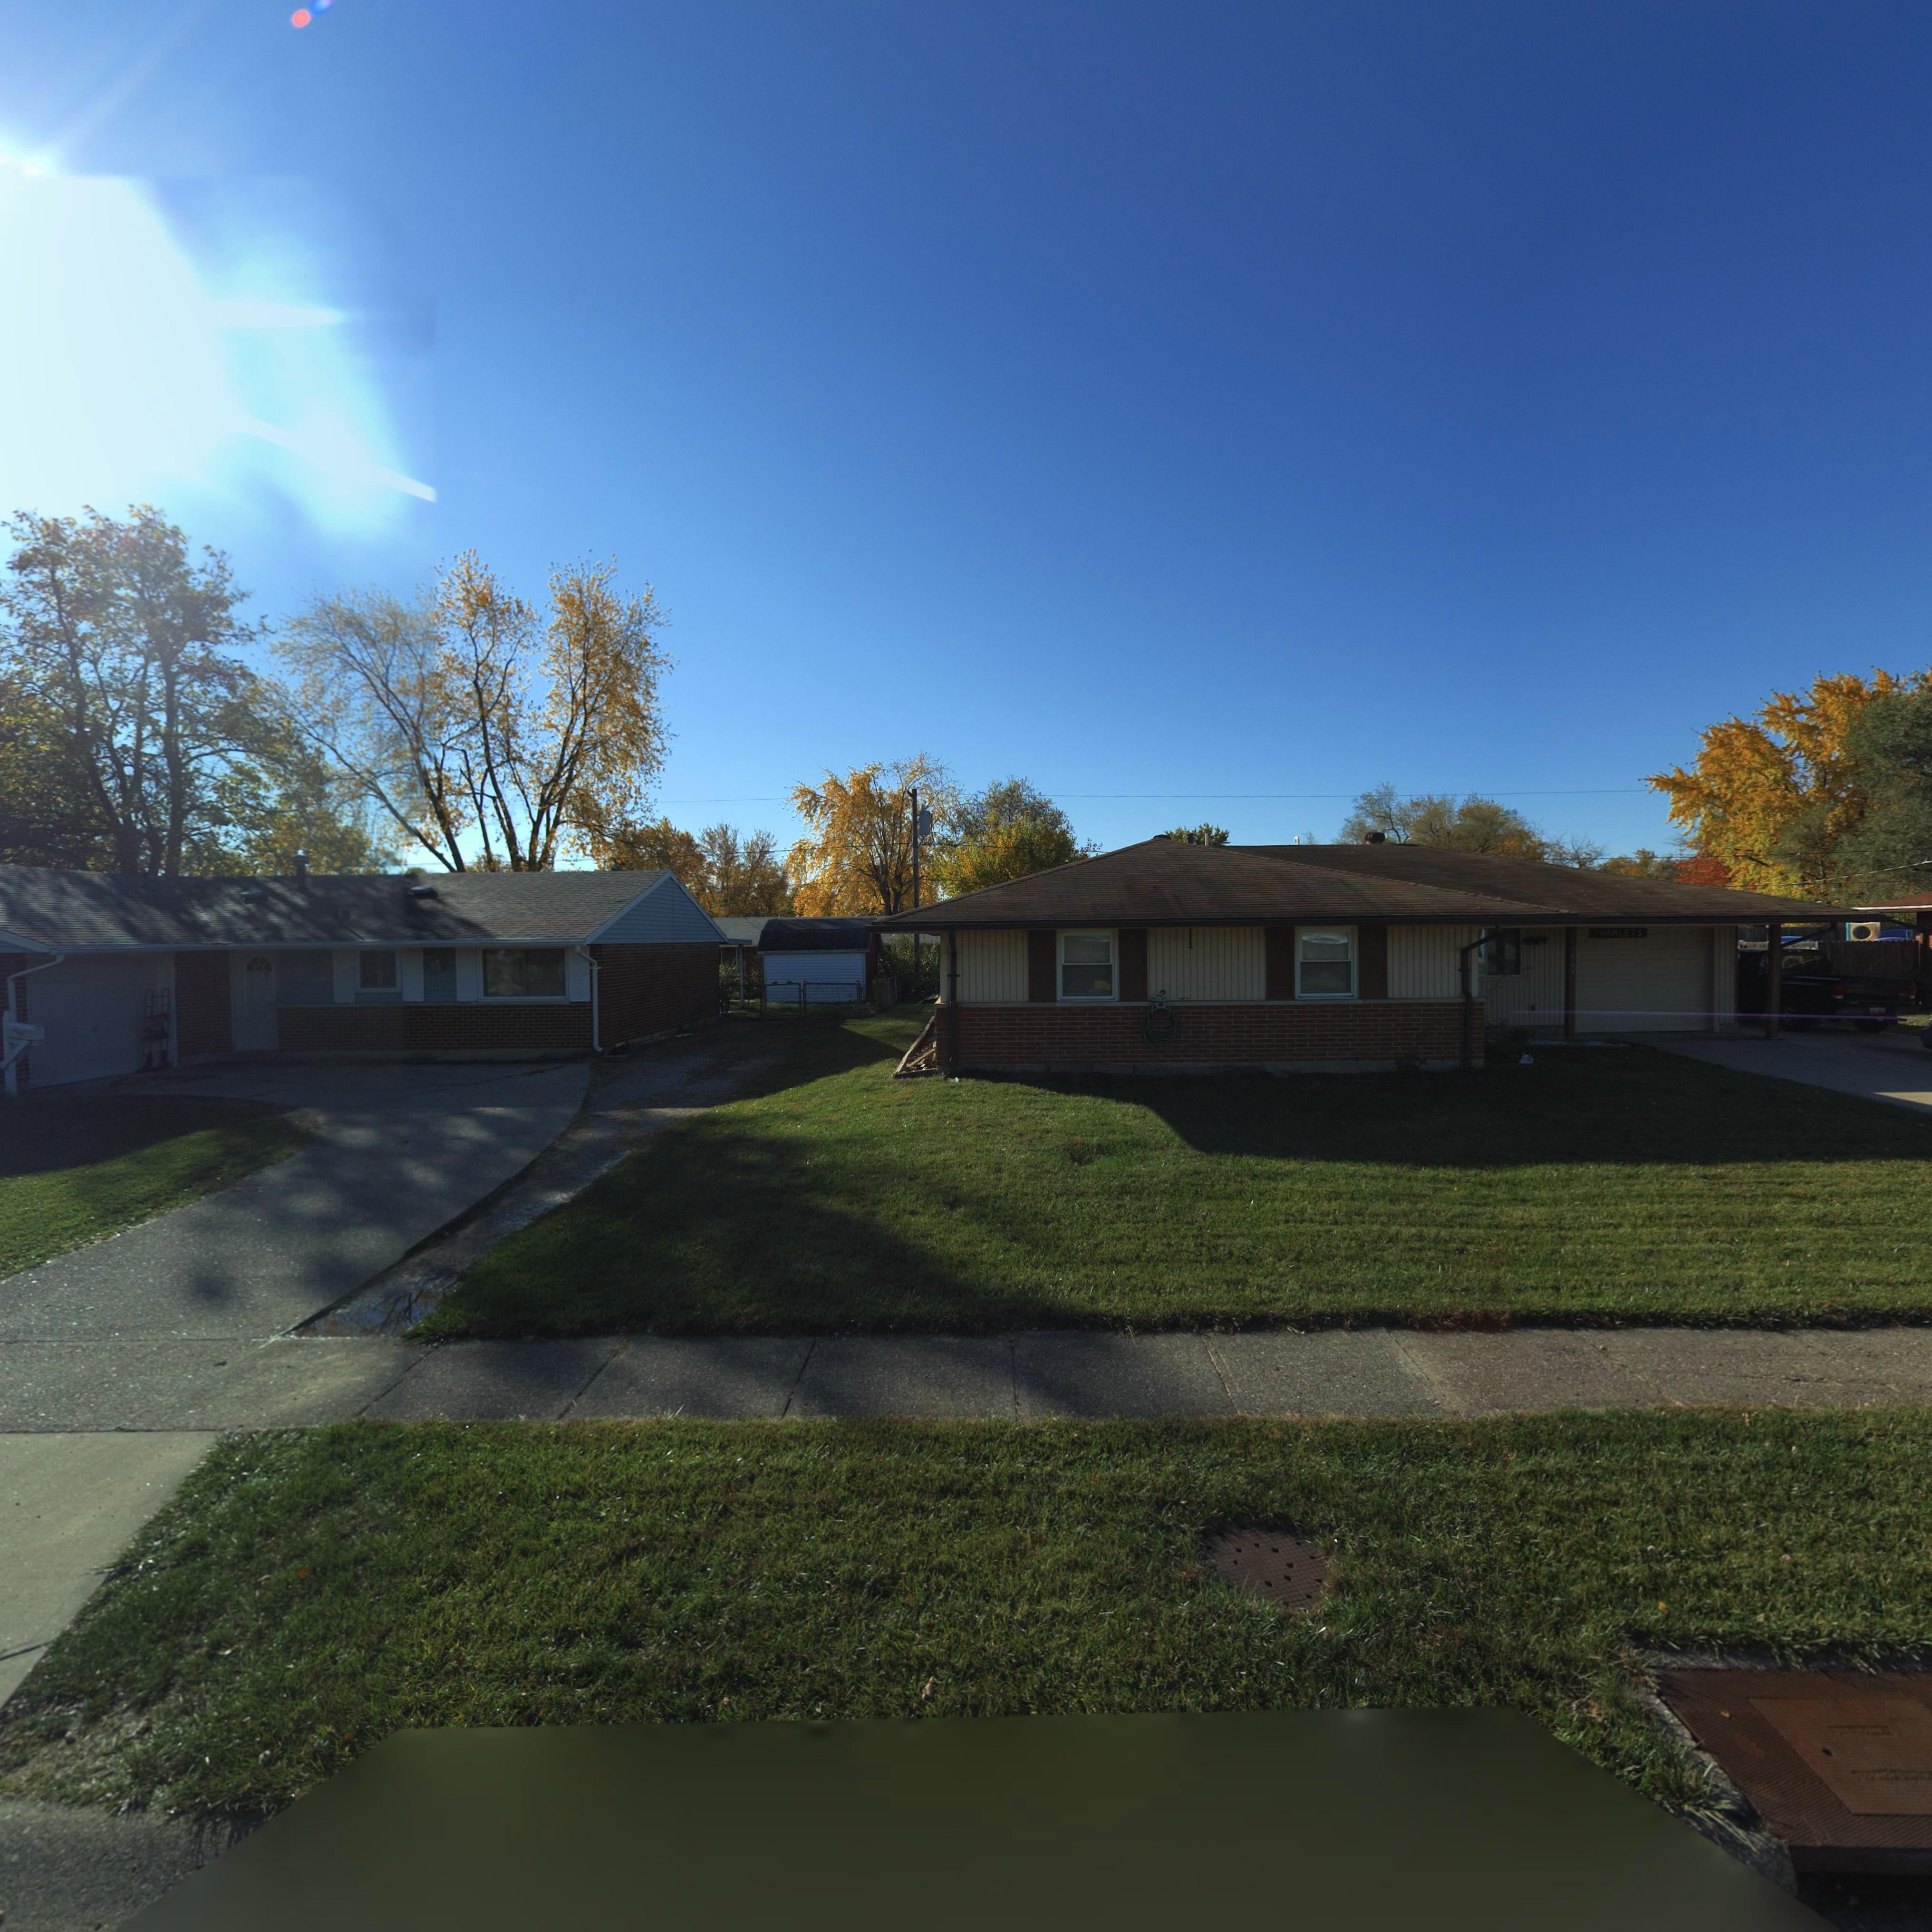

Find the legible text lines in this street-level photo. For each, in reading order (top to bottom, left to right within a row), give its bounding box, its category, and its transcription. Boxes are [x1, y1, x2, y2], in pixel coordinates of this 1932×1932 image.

[1570, 946, 1576, 975] StreetNumber: 7960